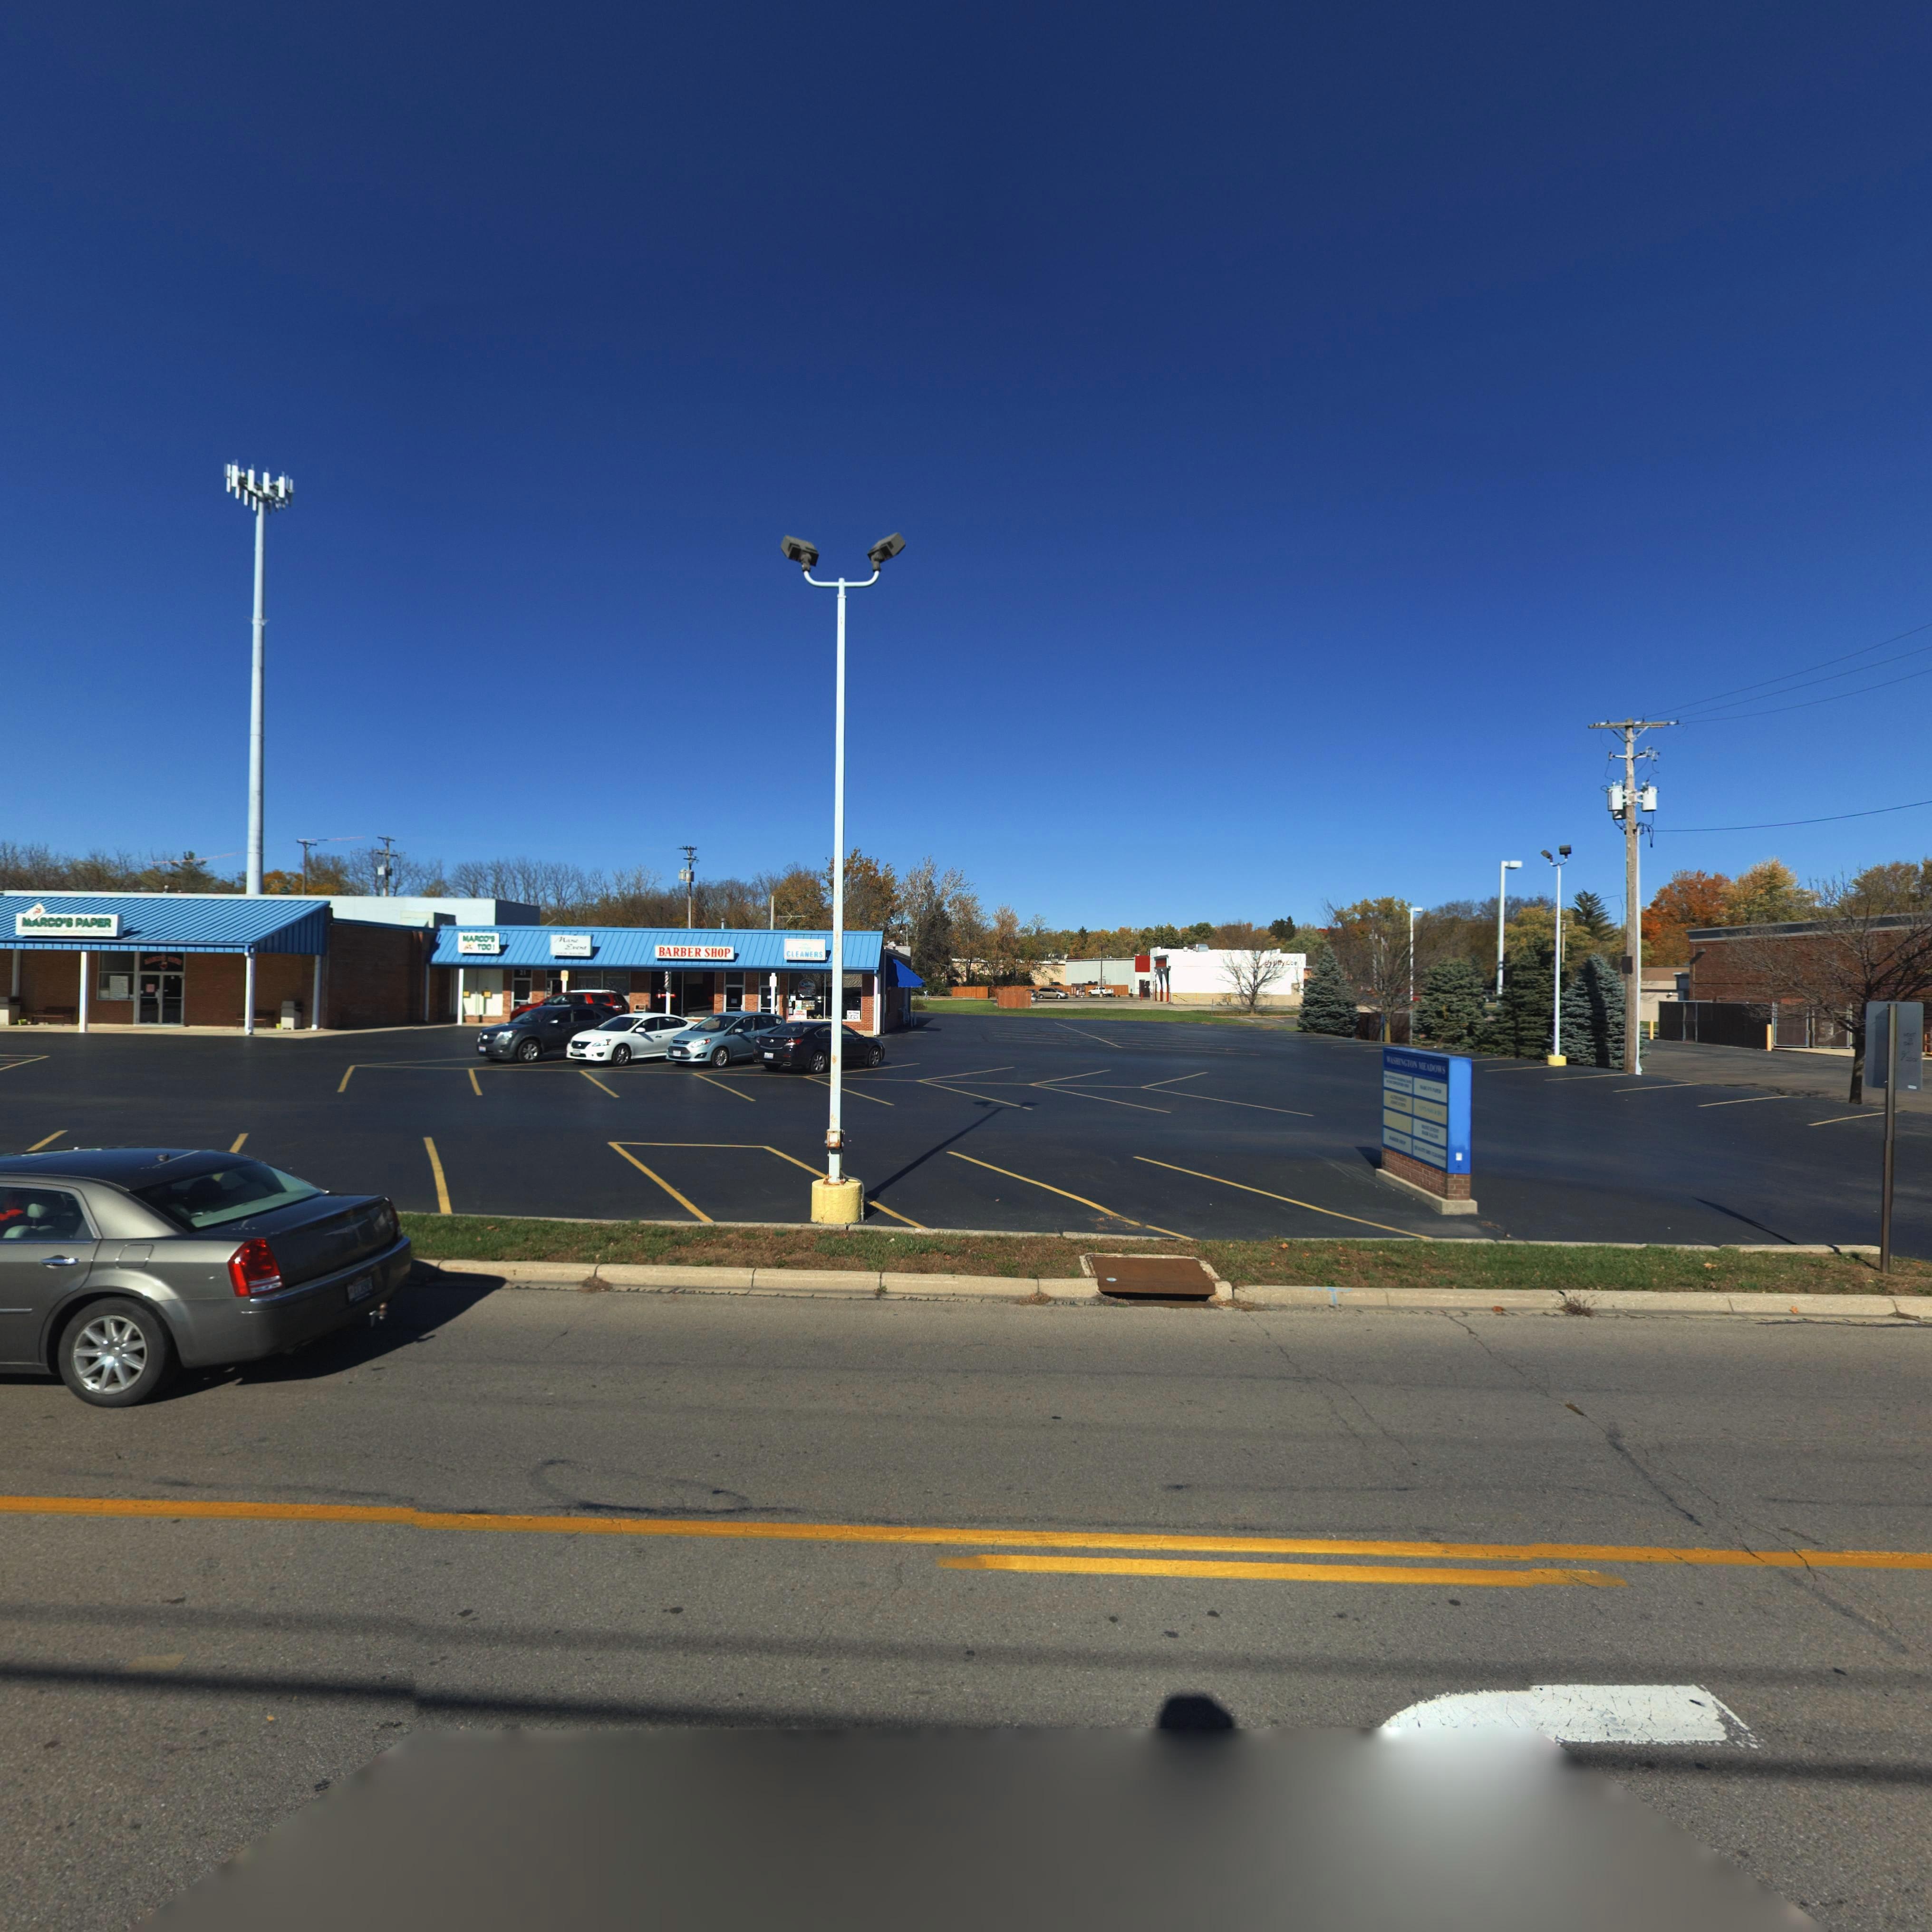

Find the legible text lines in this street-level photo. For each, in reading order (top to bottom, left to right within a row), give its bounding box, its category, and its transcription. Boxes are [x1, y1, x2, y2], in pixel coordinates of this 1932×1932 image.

[20, 917, 112, 929] BusinessName: MARCO'S PAPER
[462, 935, 495, 943] BusinessName: MARCO'S
[552, 936, 579, 944] BusinessName: Mane
[477, 943, 492, 951] BusinessName: TOO
[563, 943, 588, 950] BusinessName: Event
[657, 946, 731, 958] BusinessName: BARBER SHOP
[785, 950, 824, 959] BusinessName: CLEANERS
[519, 968, 527, 976] StreetNumber: 21
[578, 980, 627, 996] BusinessName: Mane Event
[847, 1014, 859, 1020] None: UGG
[1385, 1055, 1447, 1076] None: WASHINGTON MEADOWS